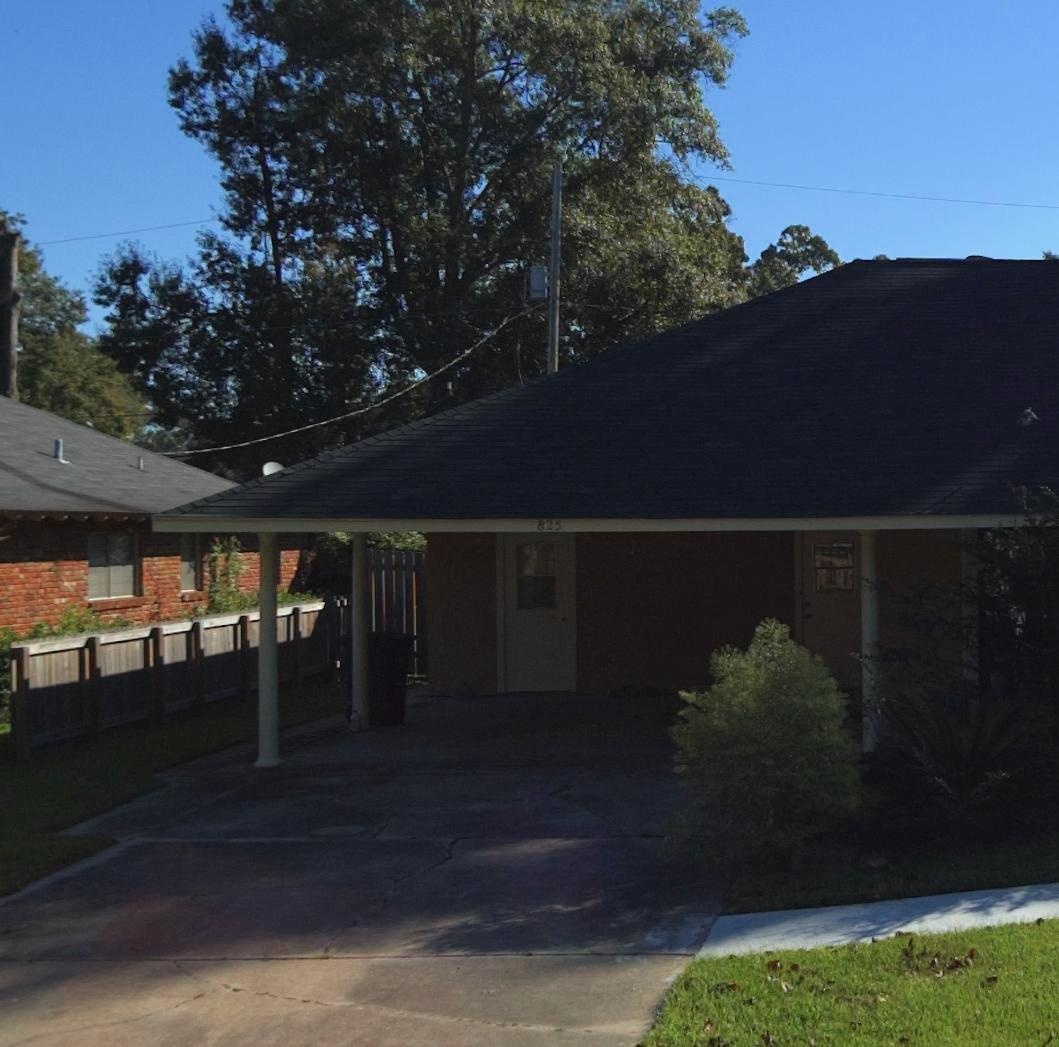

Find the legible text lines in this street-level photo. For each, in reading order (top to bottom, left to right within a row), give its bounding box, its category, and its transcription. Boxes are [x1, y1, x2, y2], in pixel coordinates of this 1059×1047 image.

[535, 518, 564, 533] StreetNumber: 825